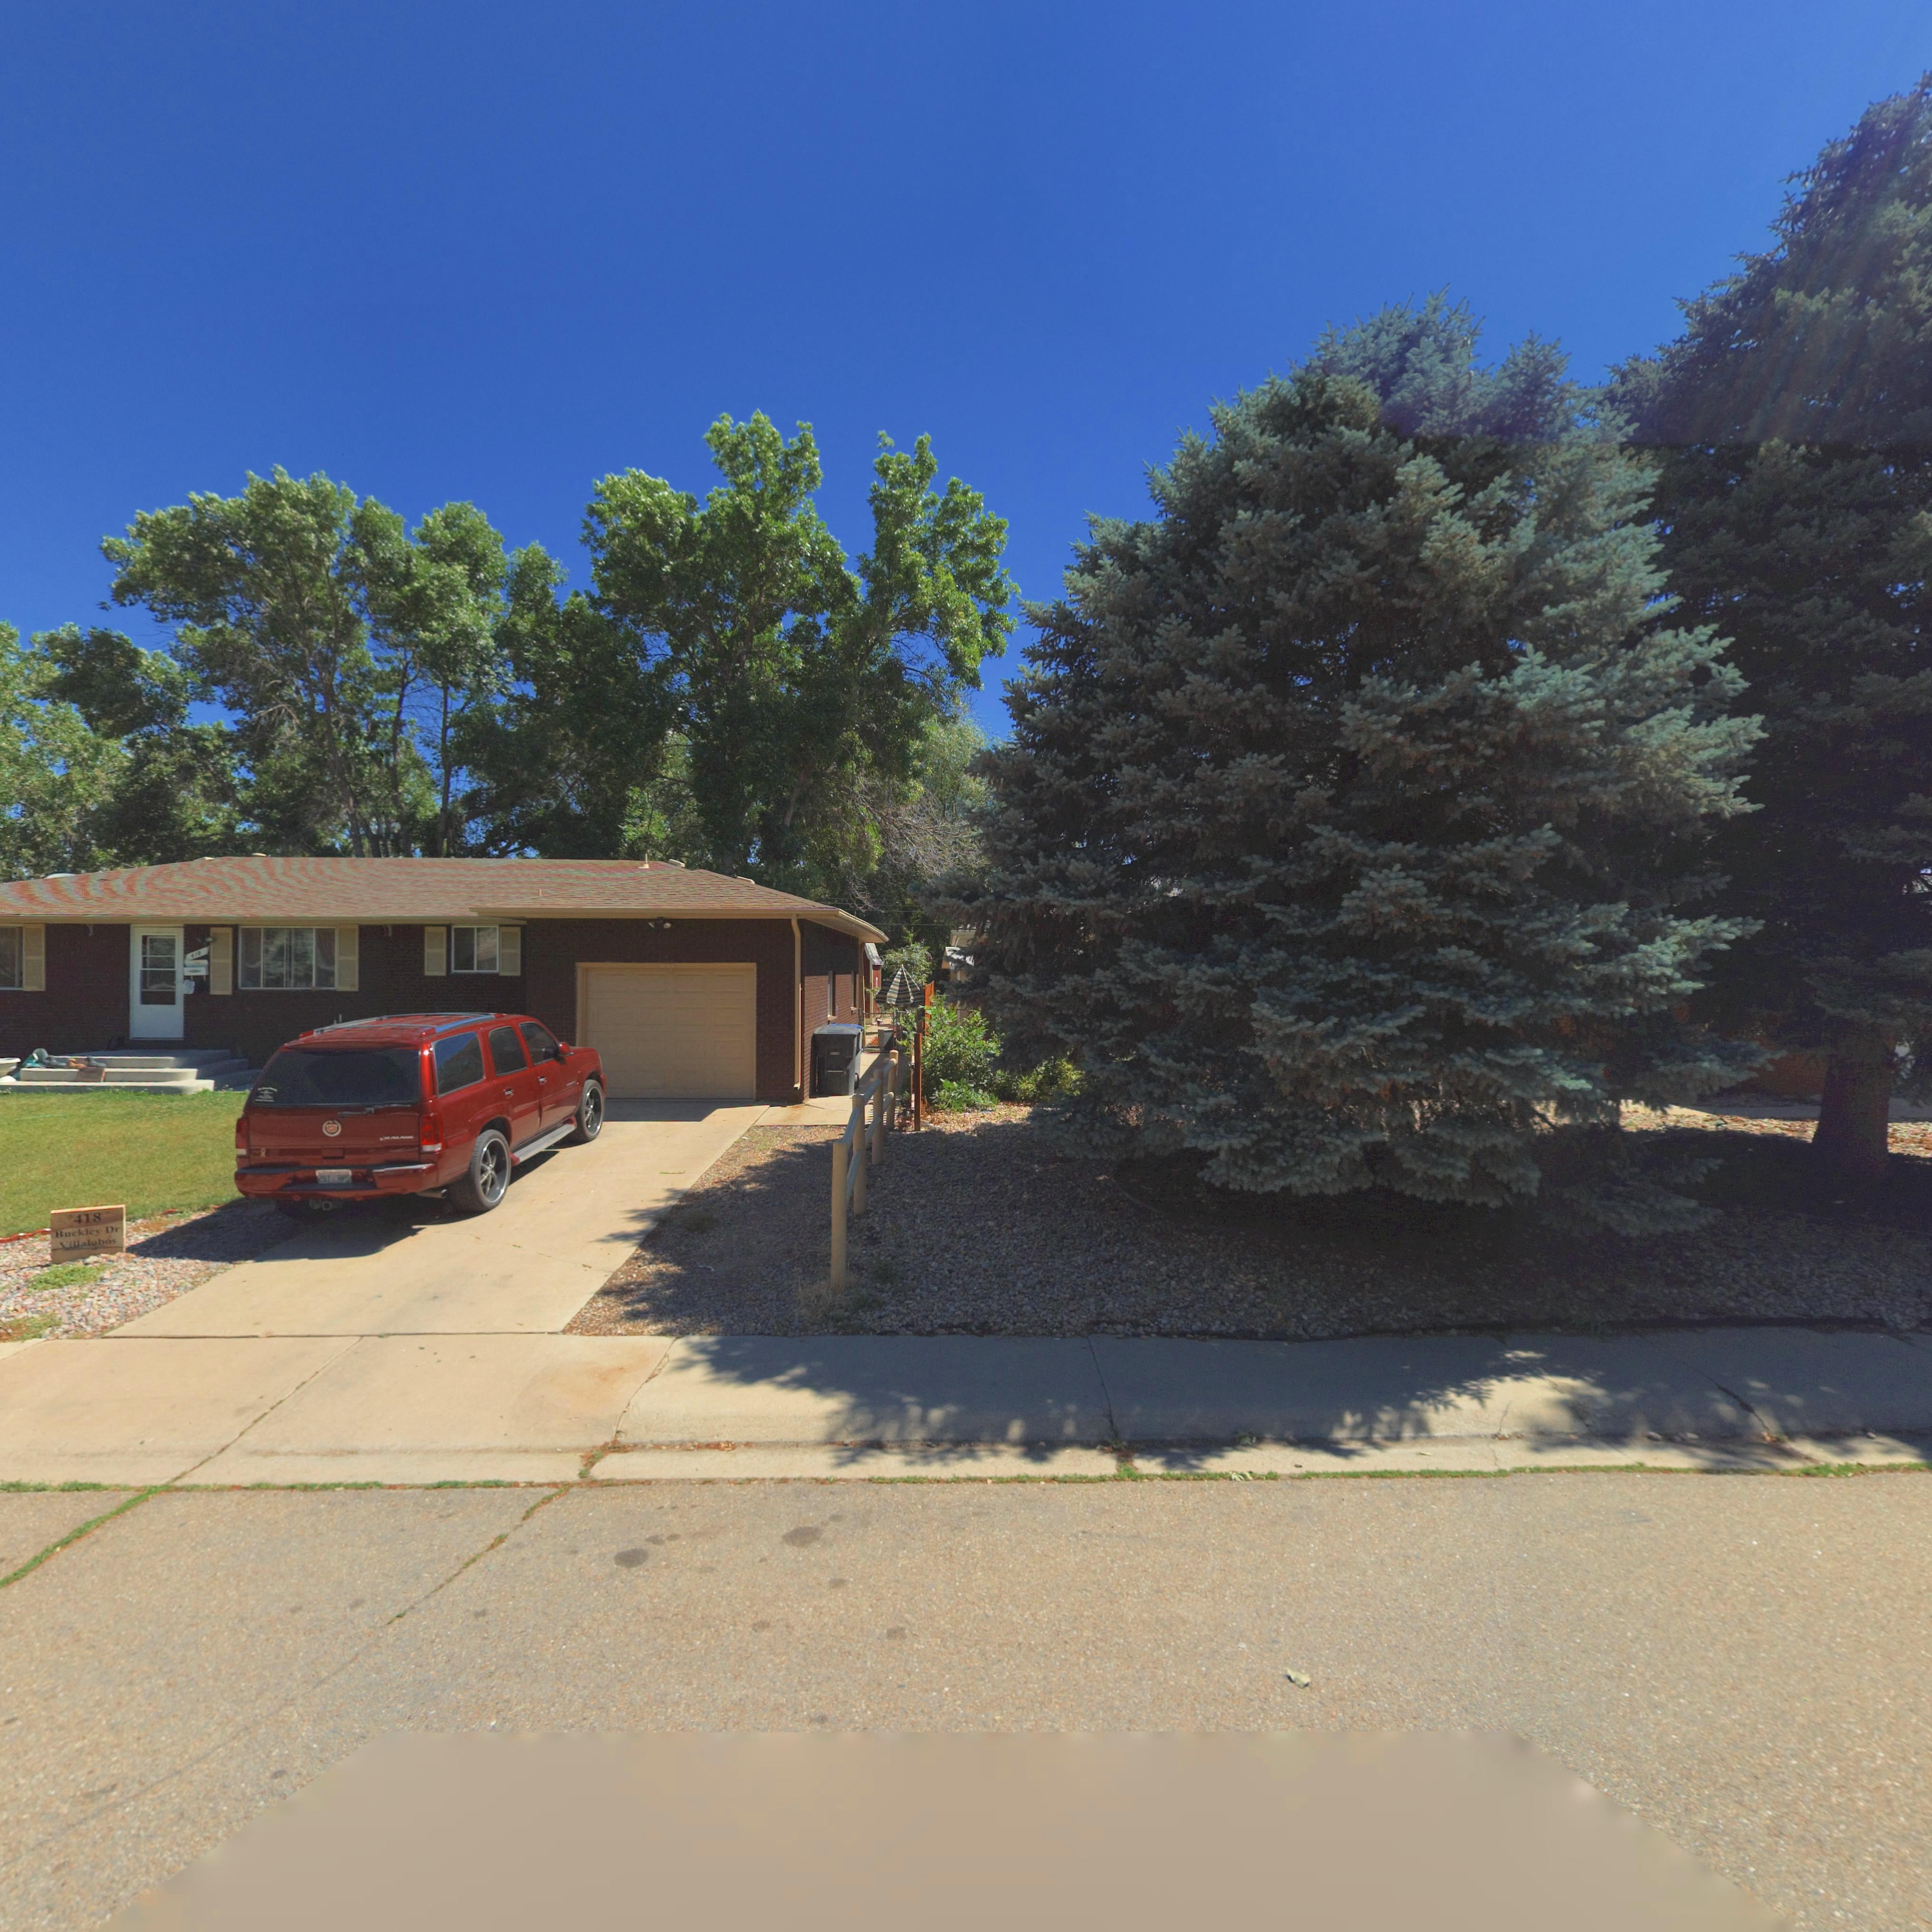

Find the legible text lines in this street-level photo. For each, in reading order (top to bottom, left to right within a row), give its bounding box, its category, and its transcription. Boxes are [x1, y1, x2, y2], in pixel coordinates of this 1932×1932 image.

[190, 950, 201, 958] StreetNumber: 418
[72, 1211, 102, 1225] StreetNumber: 418
[55, 1225, 121, 1238] StreetName: Buckley Dr